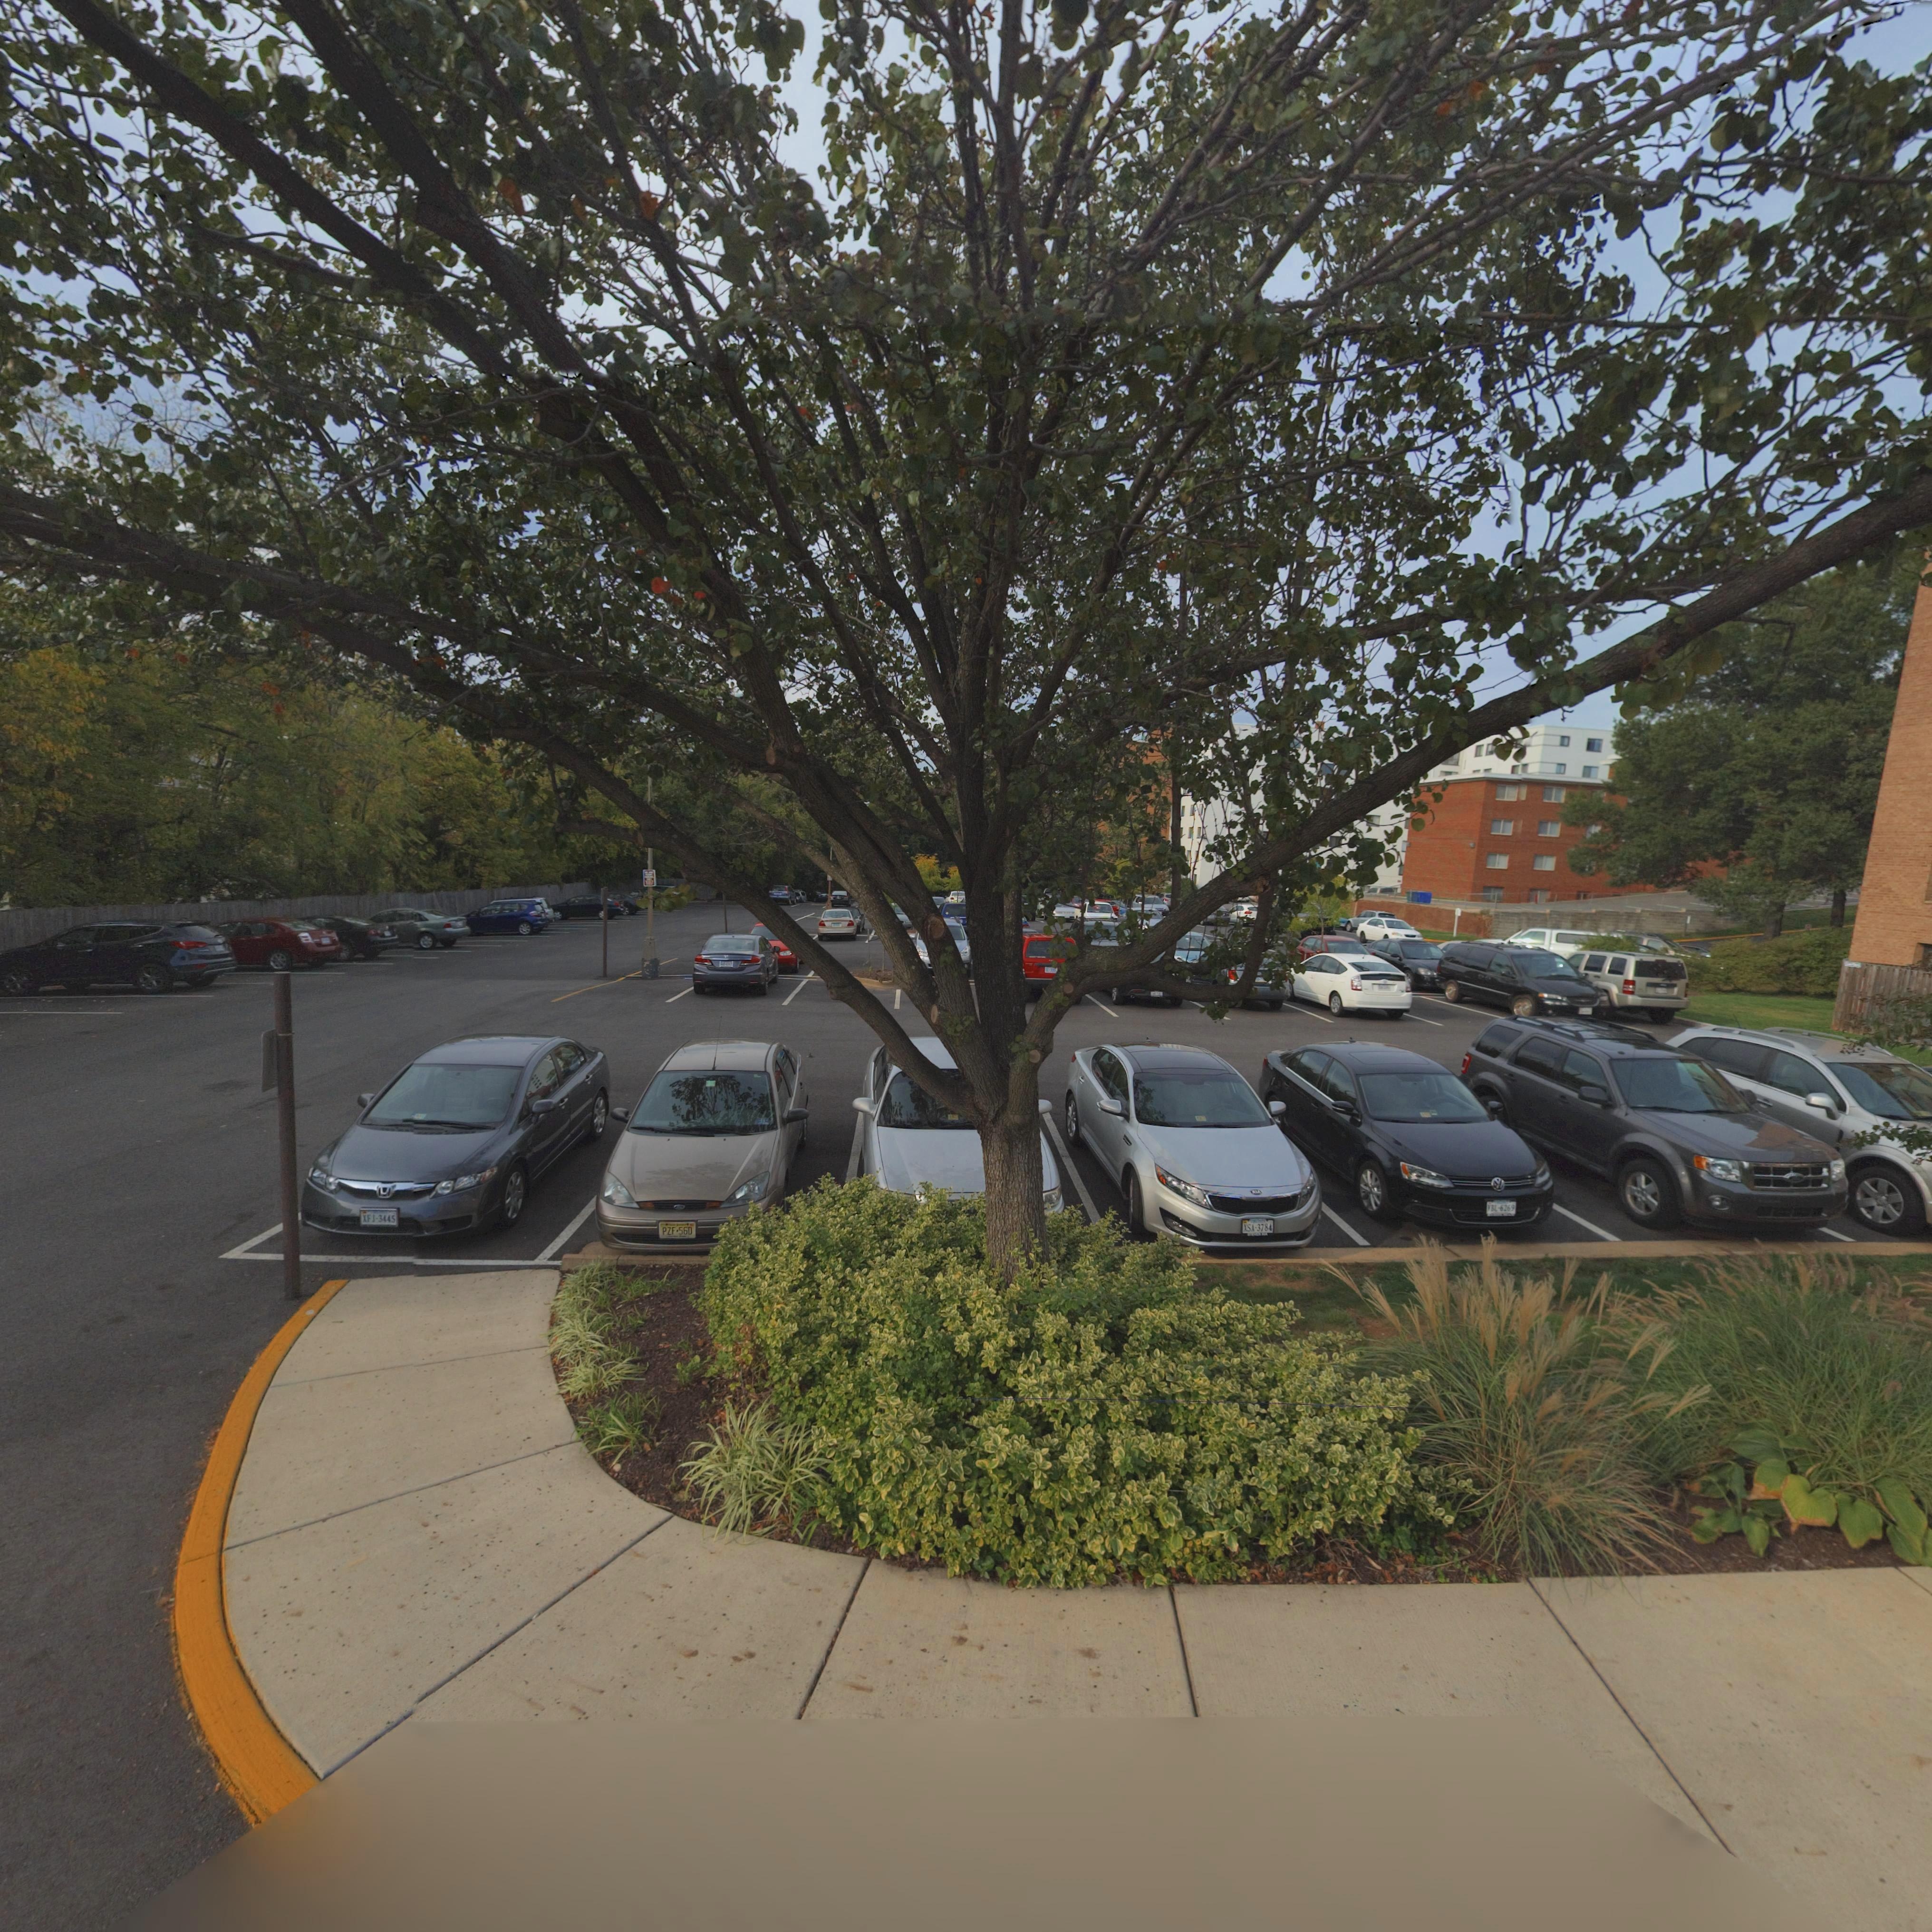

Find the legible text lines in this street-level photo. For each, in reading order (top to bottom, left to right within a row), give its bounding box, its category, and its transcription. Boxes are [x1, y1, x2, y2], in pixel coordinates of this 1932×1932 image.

[1254, 1189, 1262, 1194] None: IA
[1490, 1204, 1516, 1212] None: BL-6269
[361, 1214, 396, 1224] None: XF*-3445
[662, 1225, 693, 1236] None: PZF*560
[1243, 1223, 1273, 1233] None: XSA-3784